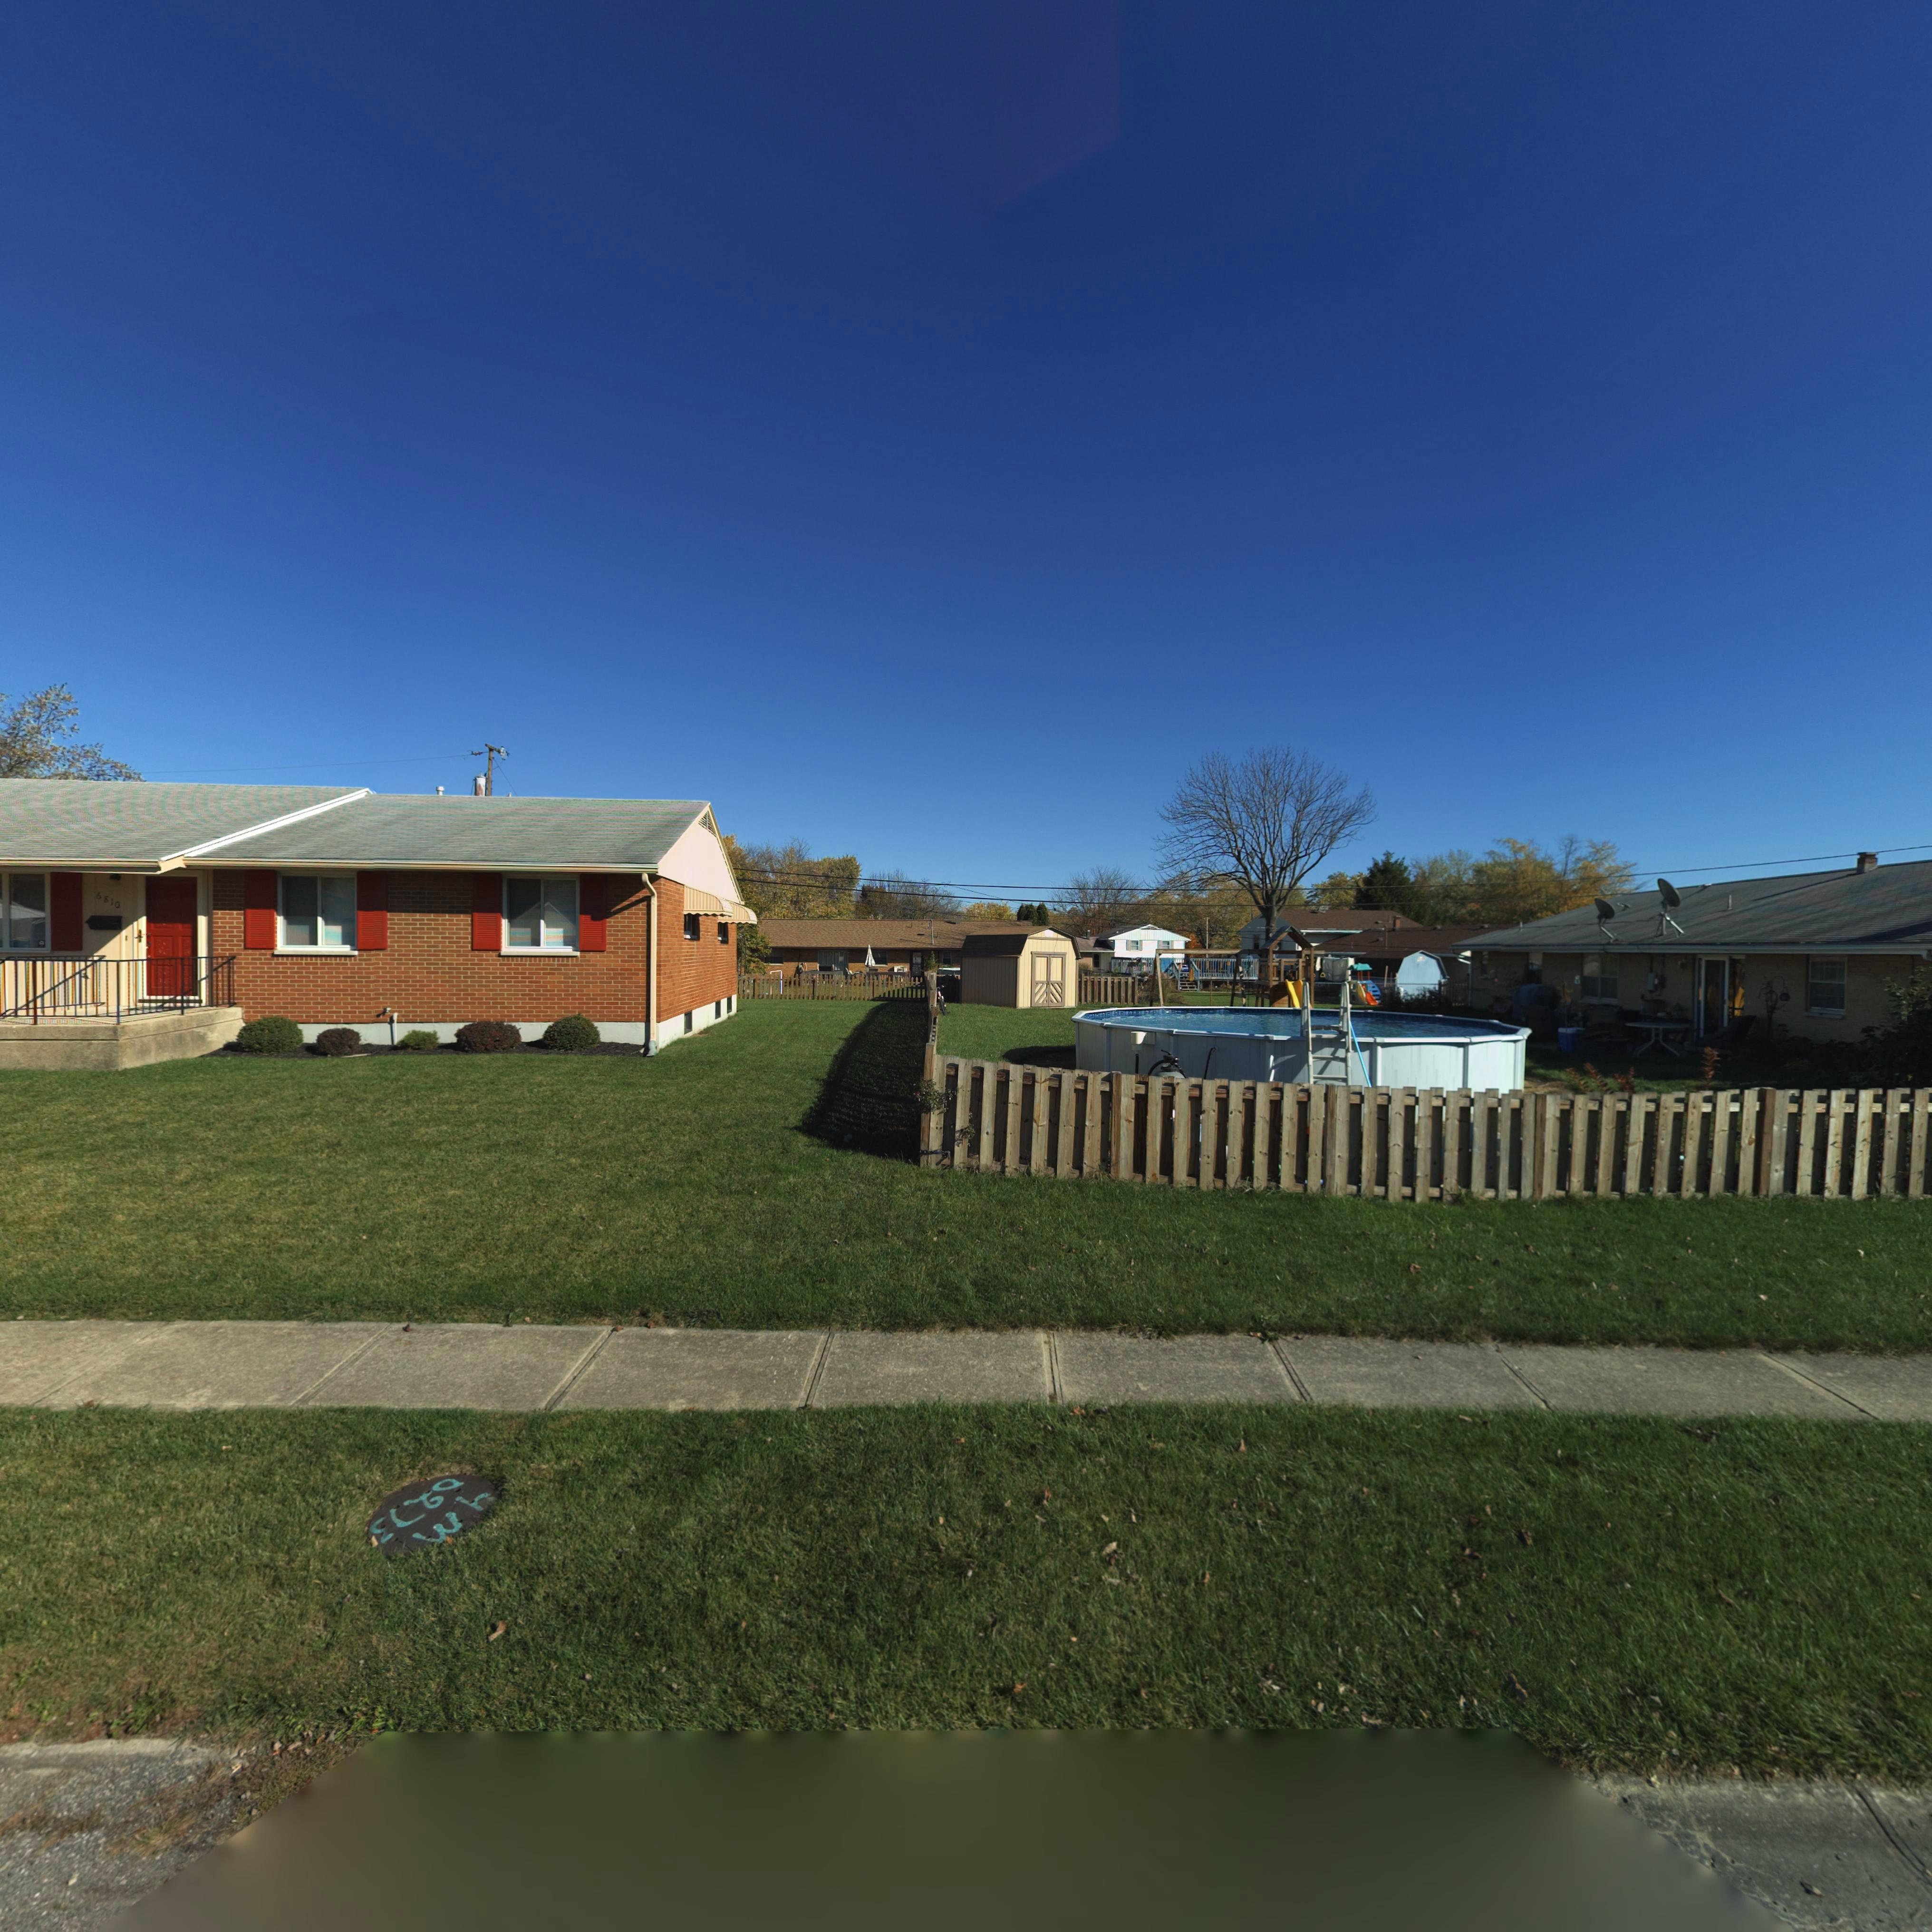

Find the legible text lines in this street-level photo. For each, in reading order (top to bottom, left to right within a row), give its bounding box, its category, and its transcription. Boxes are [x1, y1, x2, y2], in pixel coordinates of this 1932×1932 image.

[96, 890, 121, 909] StreetNumber: 6810